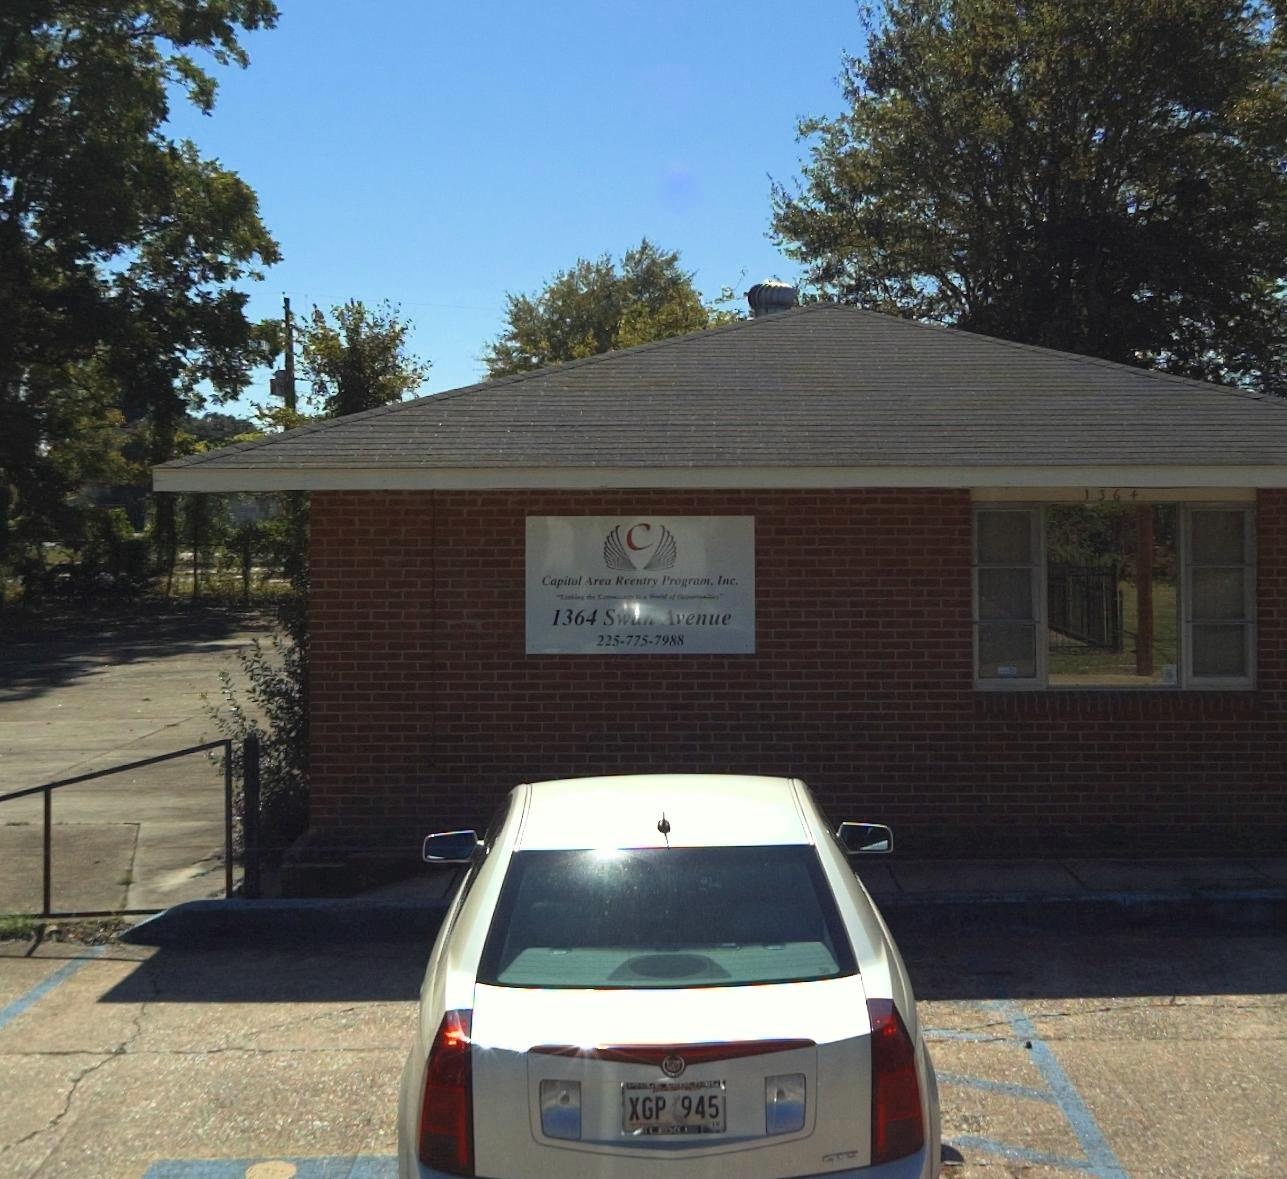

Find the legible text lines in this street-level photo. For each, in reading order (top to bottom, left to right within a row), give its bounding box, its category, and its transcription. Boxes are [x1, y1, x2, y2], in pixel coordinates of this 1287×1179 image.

[625, 522, 654, 551] None: C
[538, 574, 738, 588] BusinessName: Capital Area Reentry Program, Inc.
[551, 608, 599, 627] StreetNumber: 1364
[602, 607, 734, 627] StreetName: Sw** Avenue
[595, 633, 685, 648] None: 225-775-7988
[628, 1094, 720, 1123] None: XGP 945